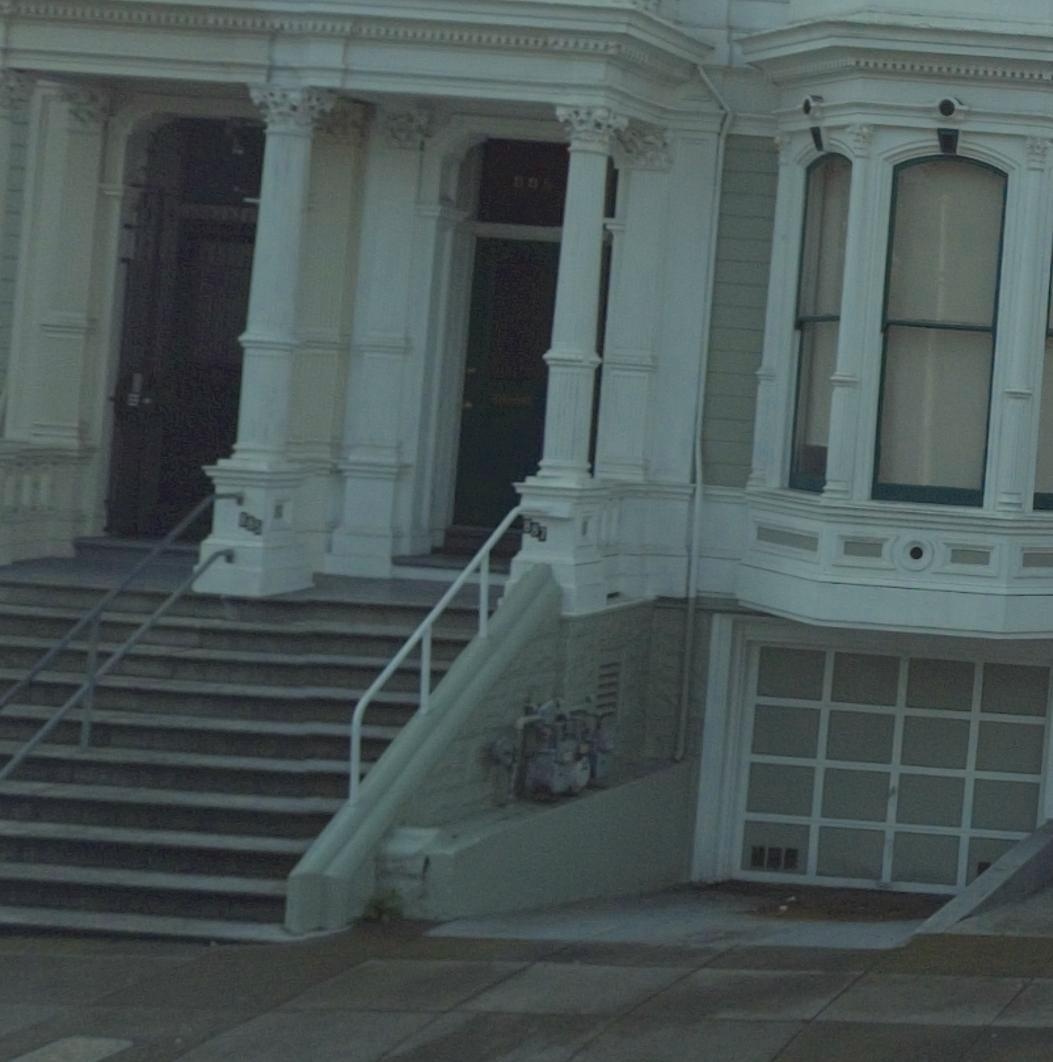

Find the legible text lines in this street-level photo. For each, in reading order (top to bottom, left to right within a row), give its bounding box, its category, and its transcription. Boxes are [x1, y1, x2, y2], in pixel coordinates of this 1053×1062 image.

[510, 172, 555, 193] StreetNumber: 885
[521, 518, 547, 542] StreetNumber: 887